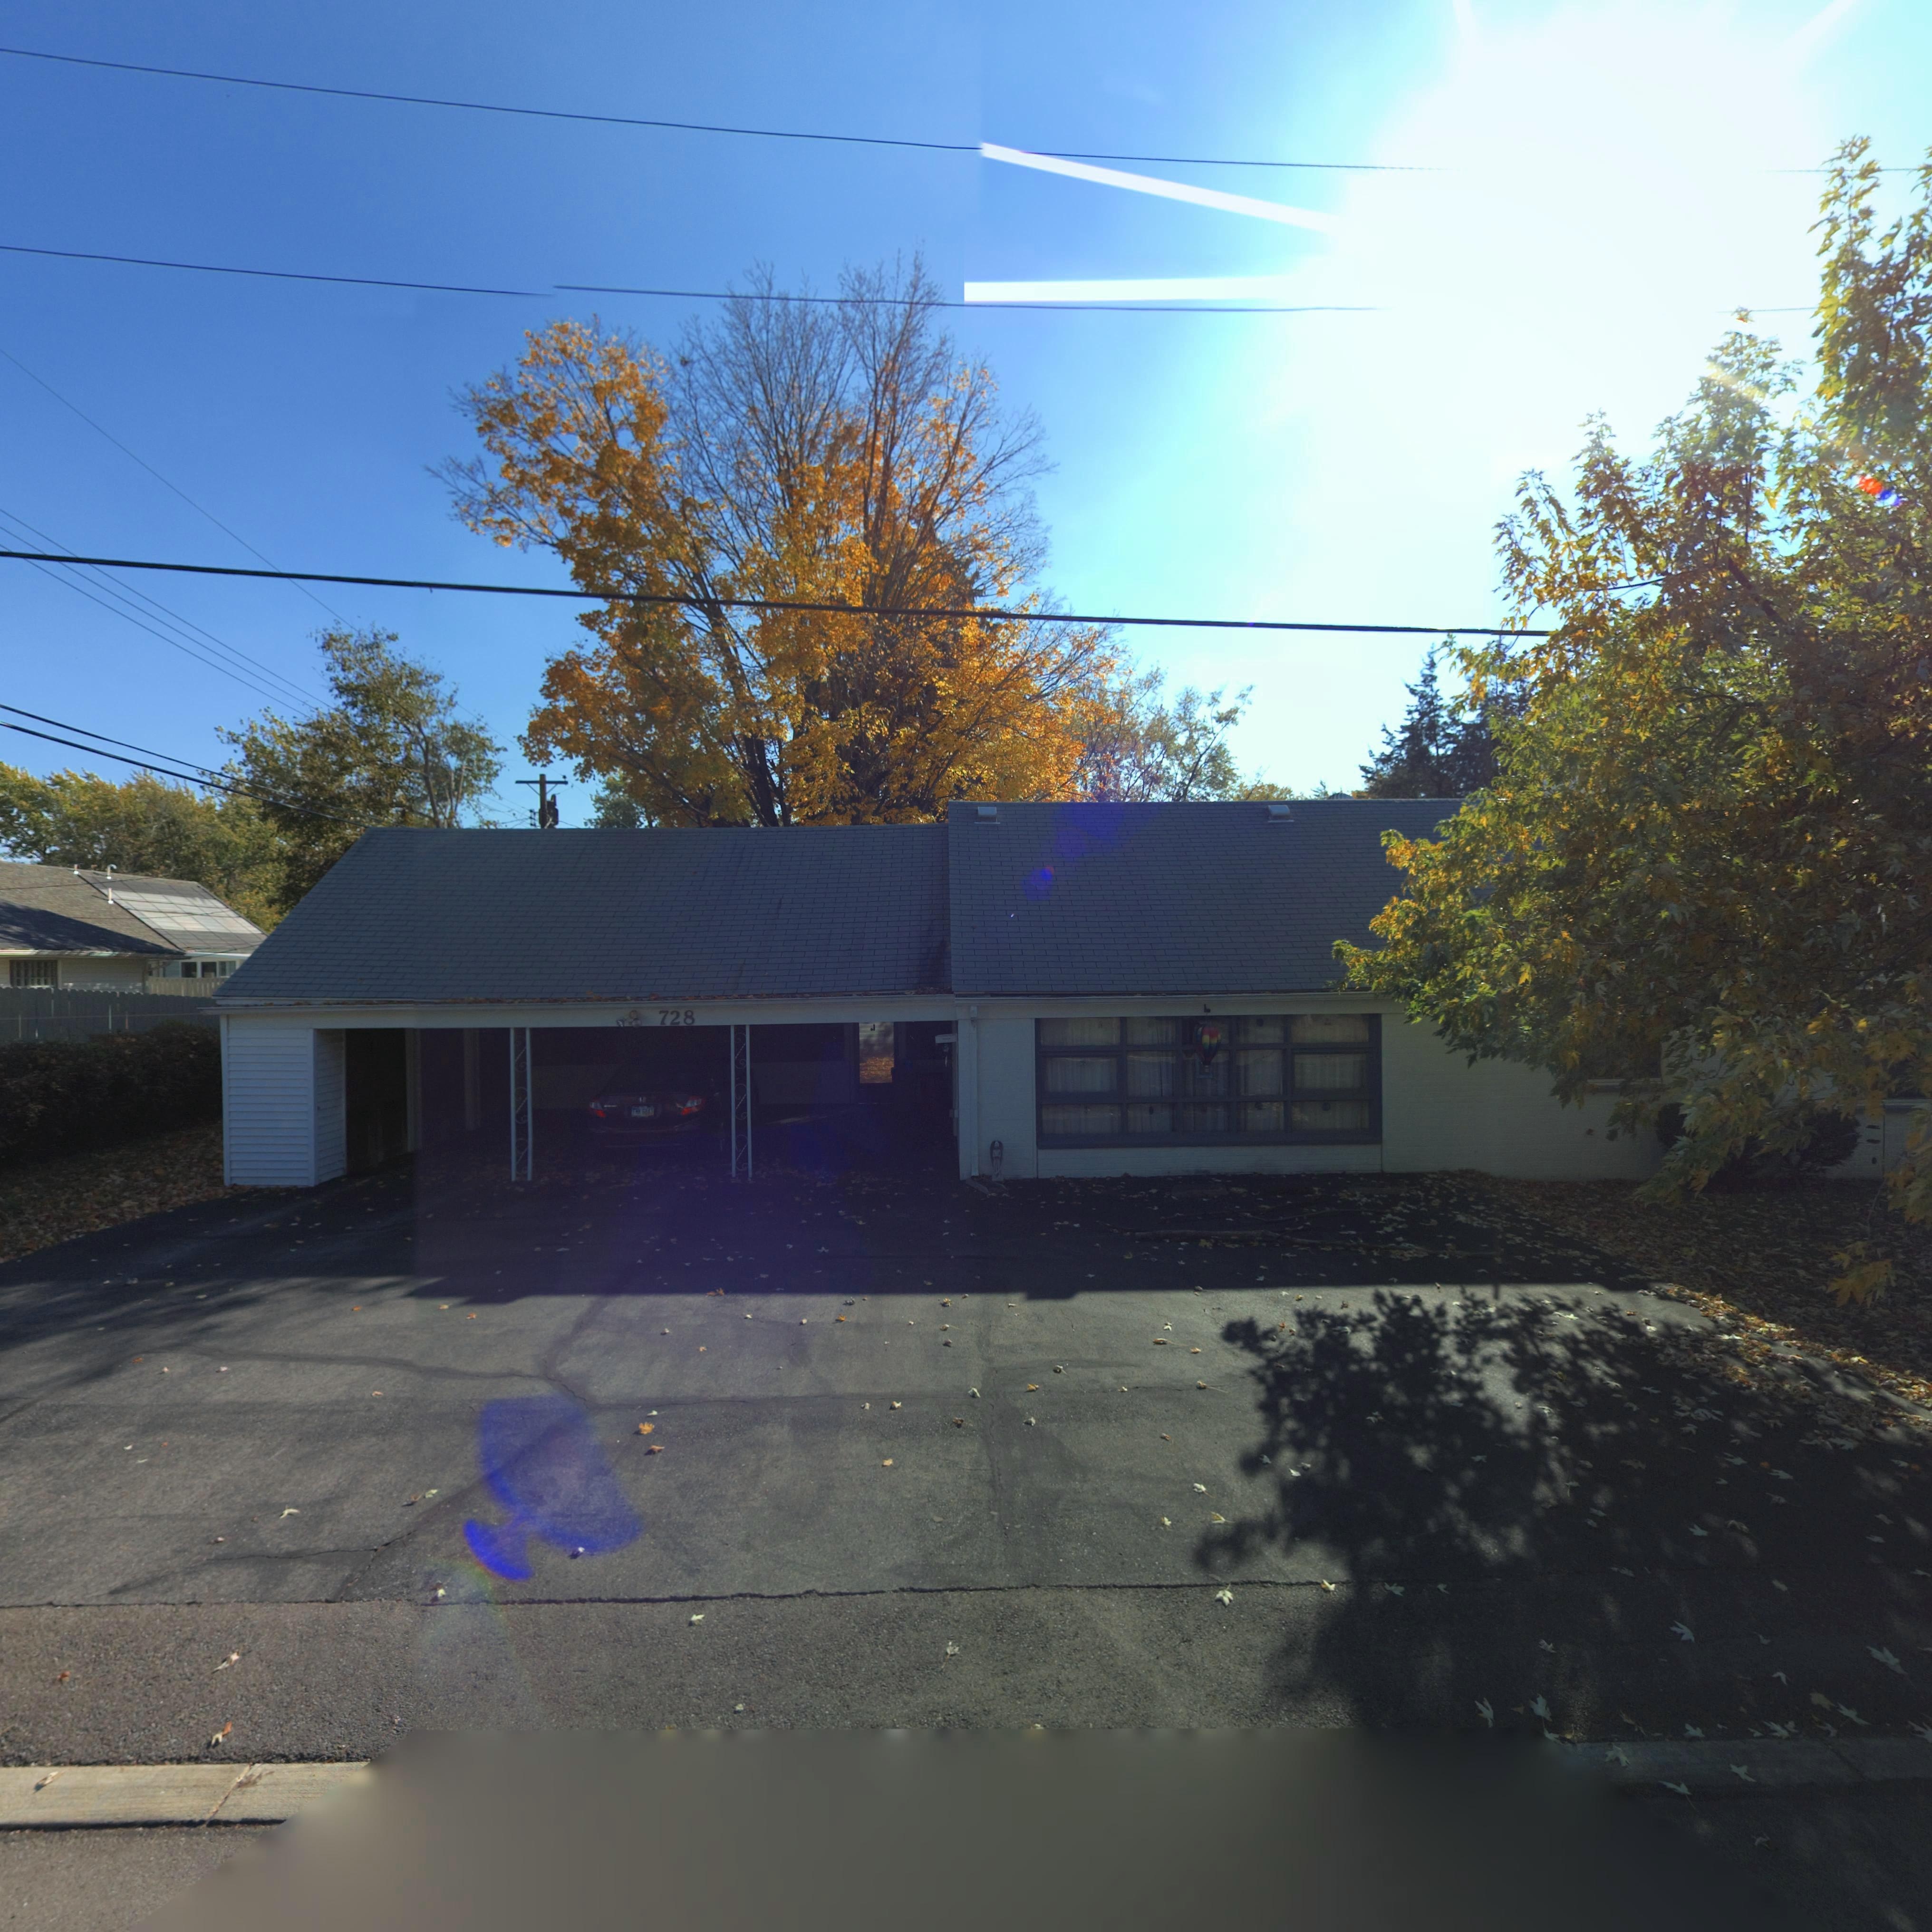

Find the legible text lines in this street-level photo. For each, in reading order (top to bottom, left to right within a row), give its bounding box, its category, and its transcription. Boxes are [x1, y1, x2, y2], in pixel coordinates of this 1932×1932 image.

[658, 1009, 696, 1026] StreetNumber: 728
[632, 1108, 652, 1114] None: FRK 6043